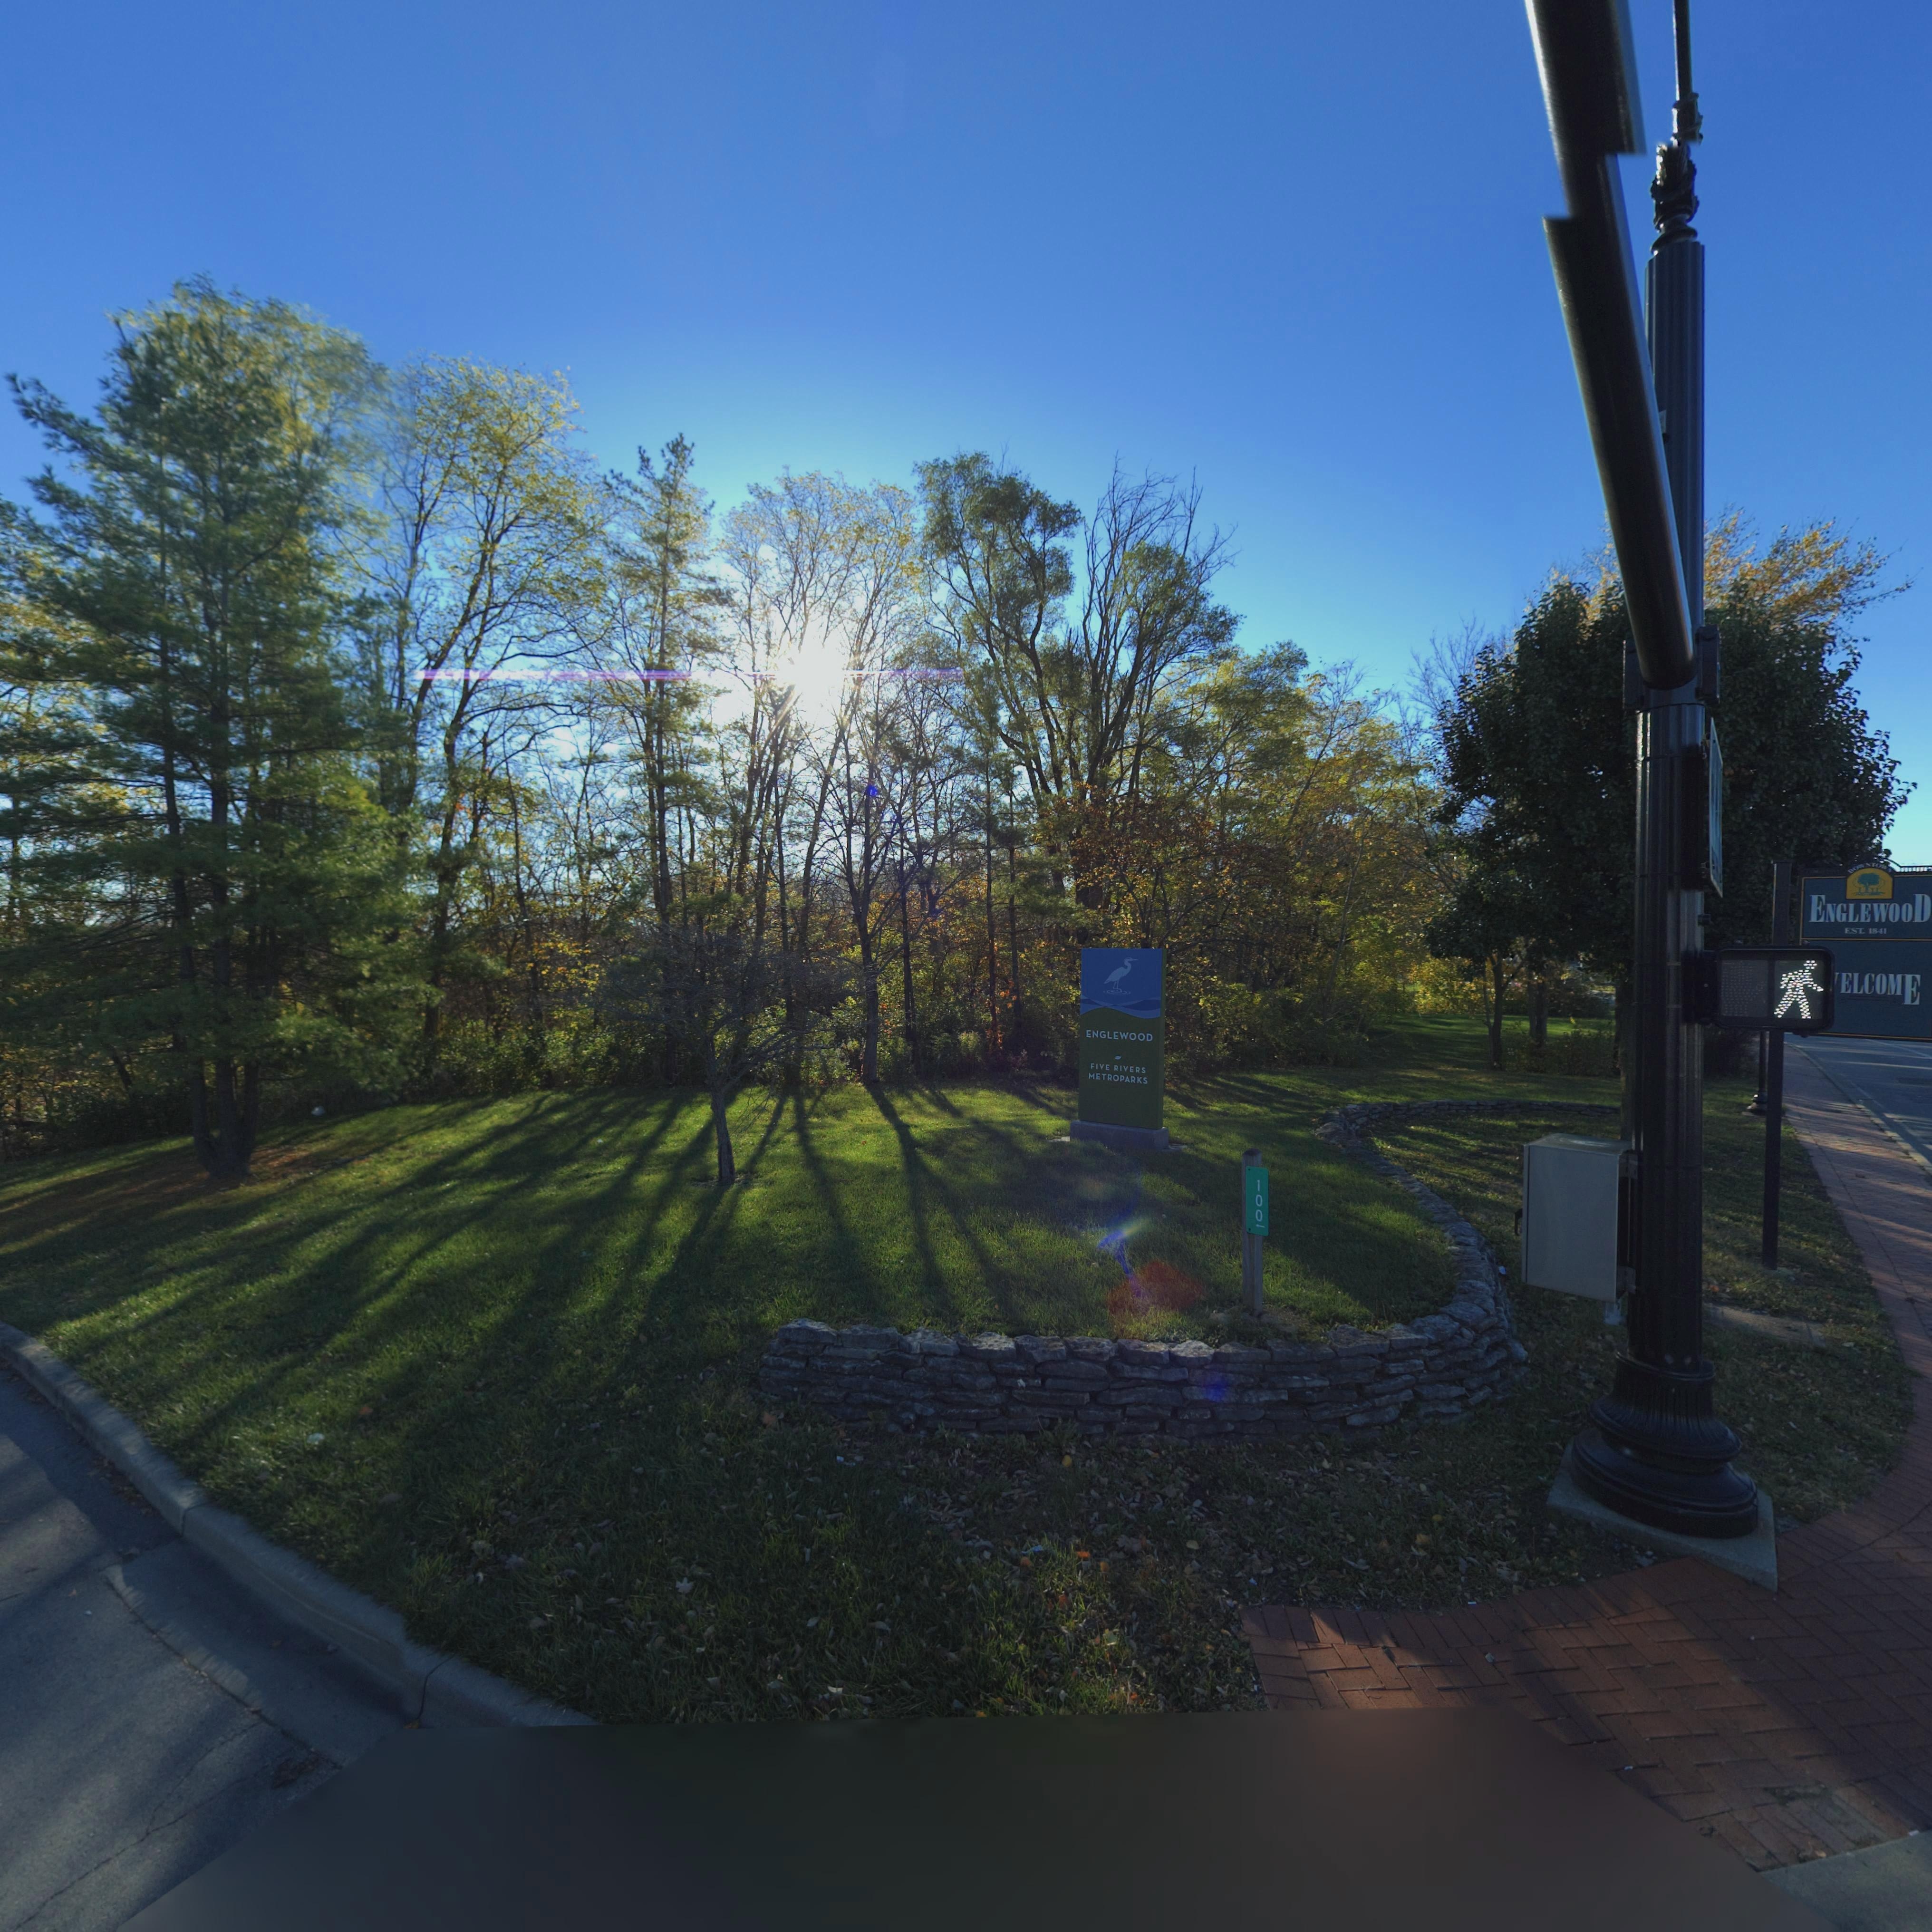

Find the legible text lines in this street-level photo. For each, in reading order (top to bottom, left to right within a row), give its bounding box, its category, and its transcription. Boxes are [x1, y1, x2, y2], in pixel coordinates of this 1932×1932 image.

[1806, 891, 1931, 924] None: ENGLEWOOD
[1842, 927, 1889, 936] None: EST 1841
[1084, 1028, 1153, 1043] None: ENGLEWOOD
[1089, 1062, 1148, 1076] None: FIVE RIVERS
[1087, 1070, 1149, 1086] None: METROPARKS
[1254, 1178, 1265, 1223] StreetNumber: 100